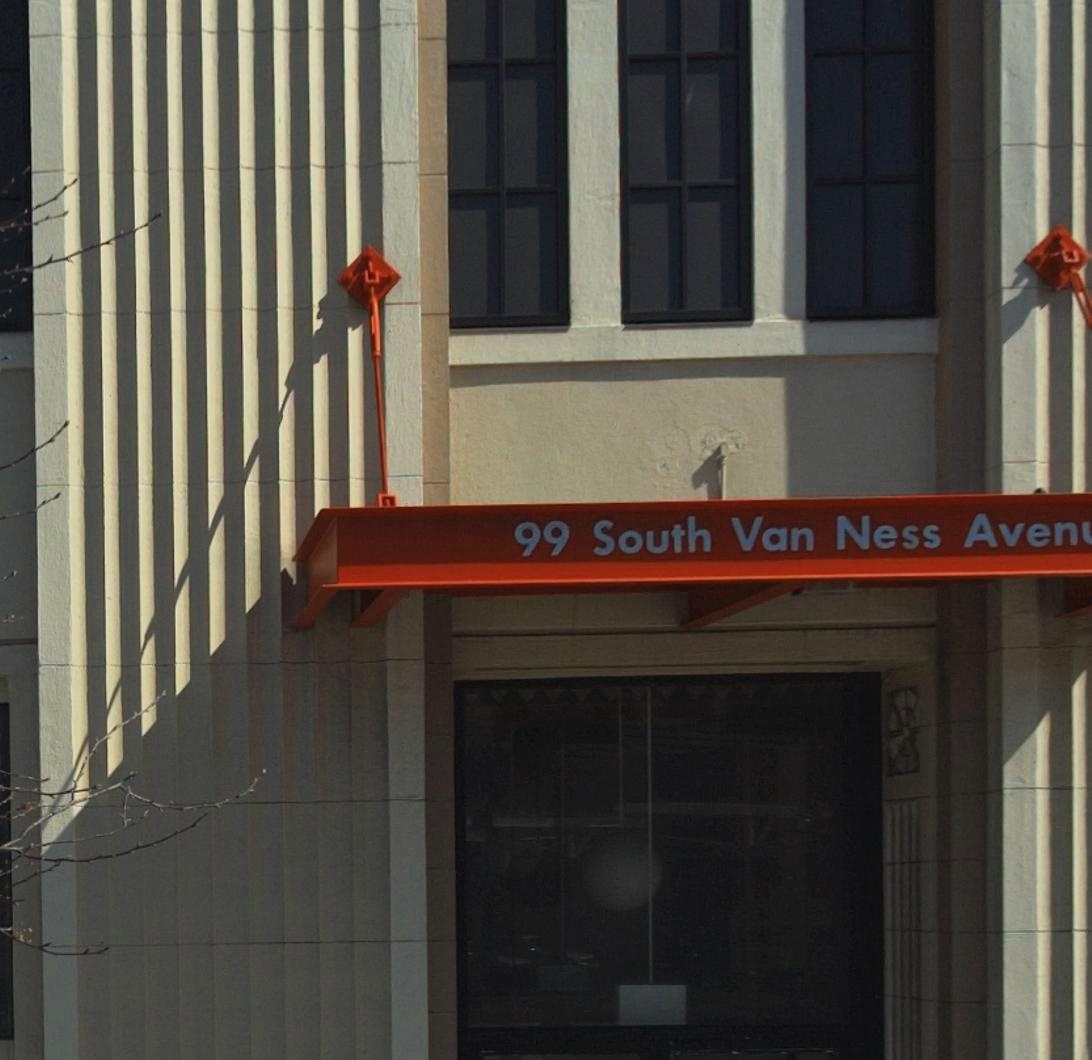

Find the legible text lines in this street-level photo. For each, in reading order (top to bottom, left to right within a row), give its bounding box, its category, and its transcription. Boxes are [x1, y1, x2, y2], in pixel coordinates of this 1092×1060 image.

[510, 518, 575, 560] StreetNumber: 99
[587, 509, 1084, 562] StreetName: South van Ness Aven